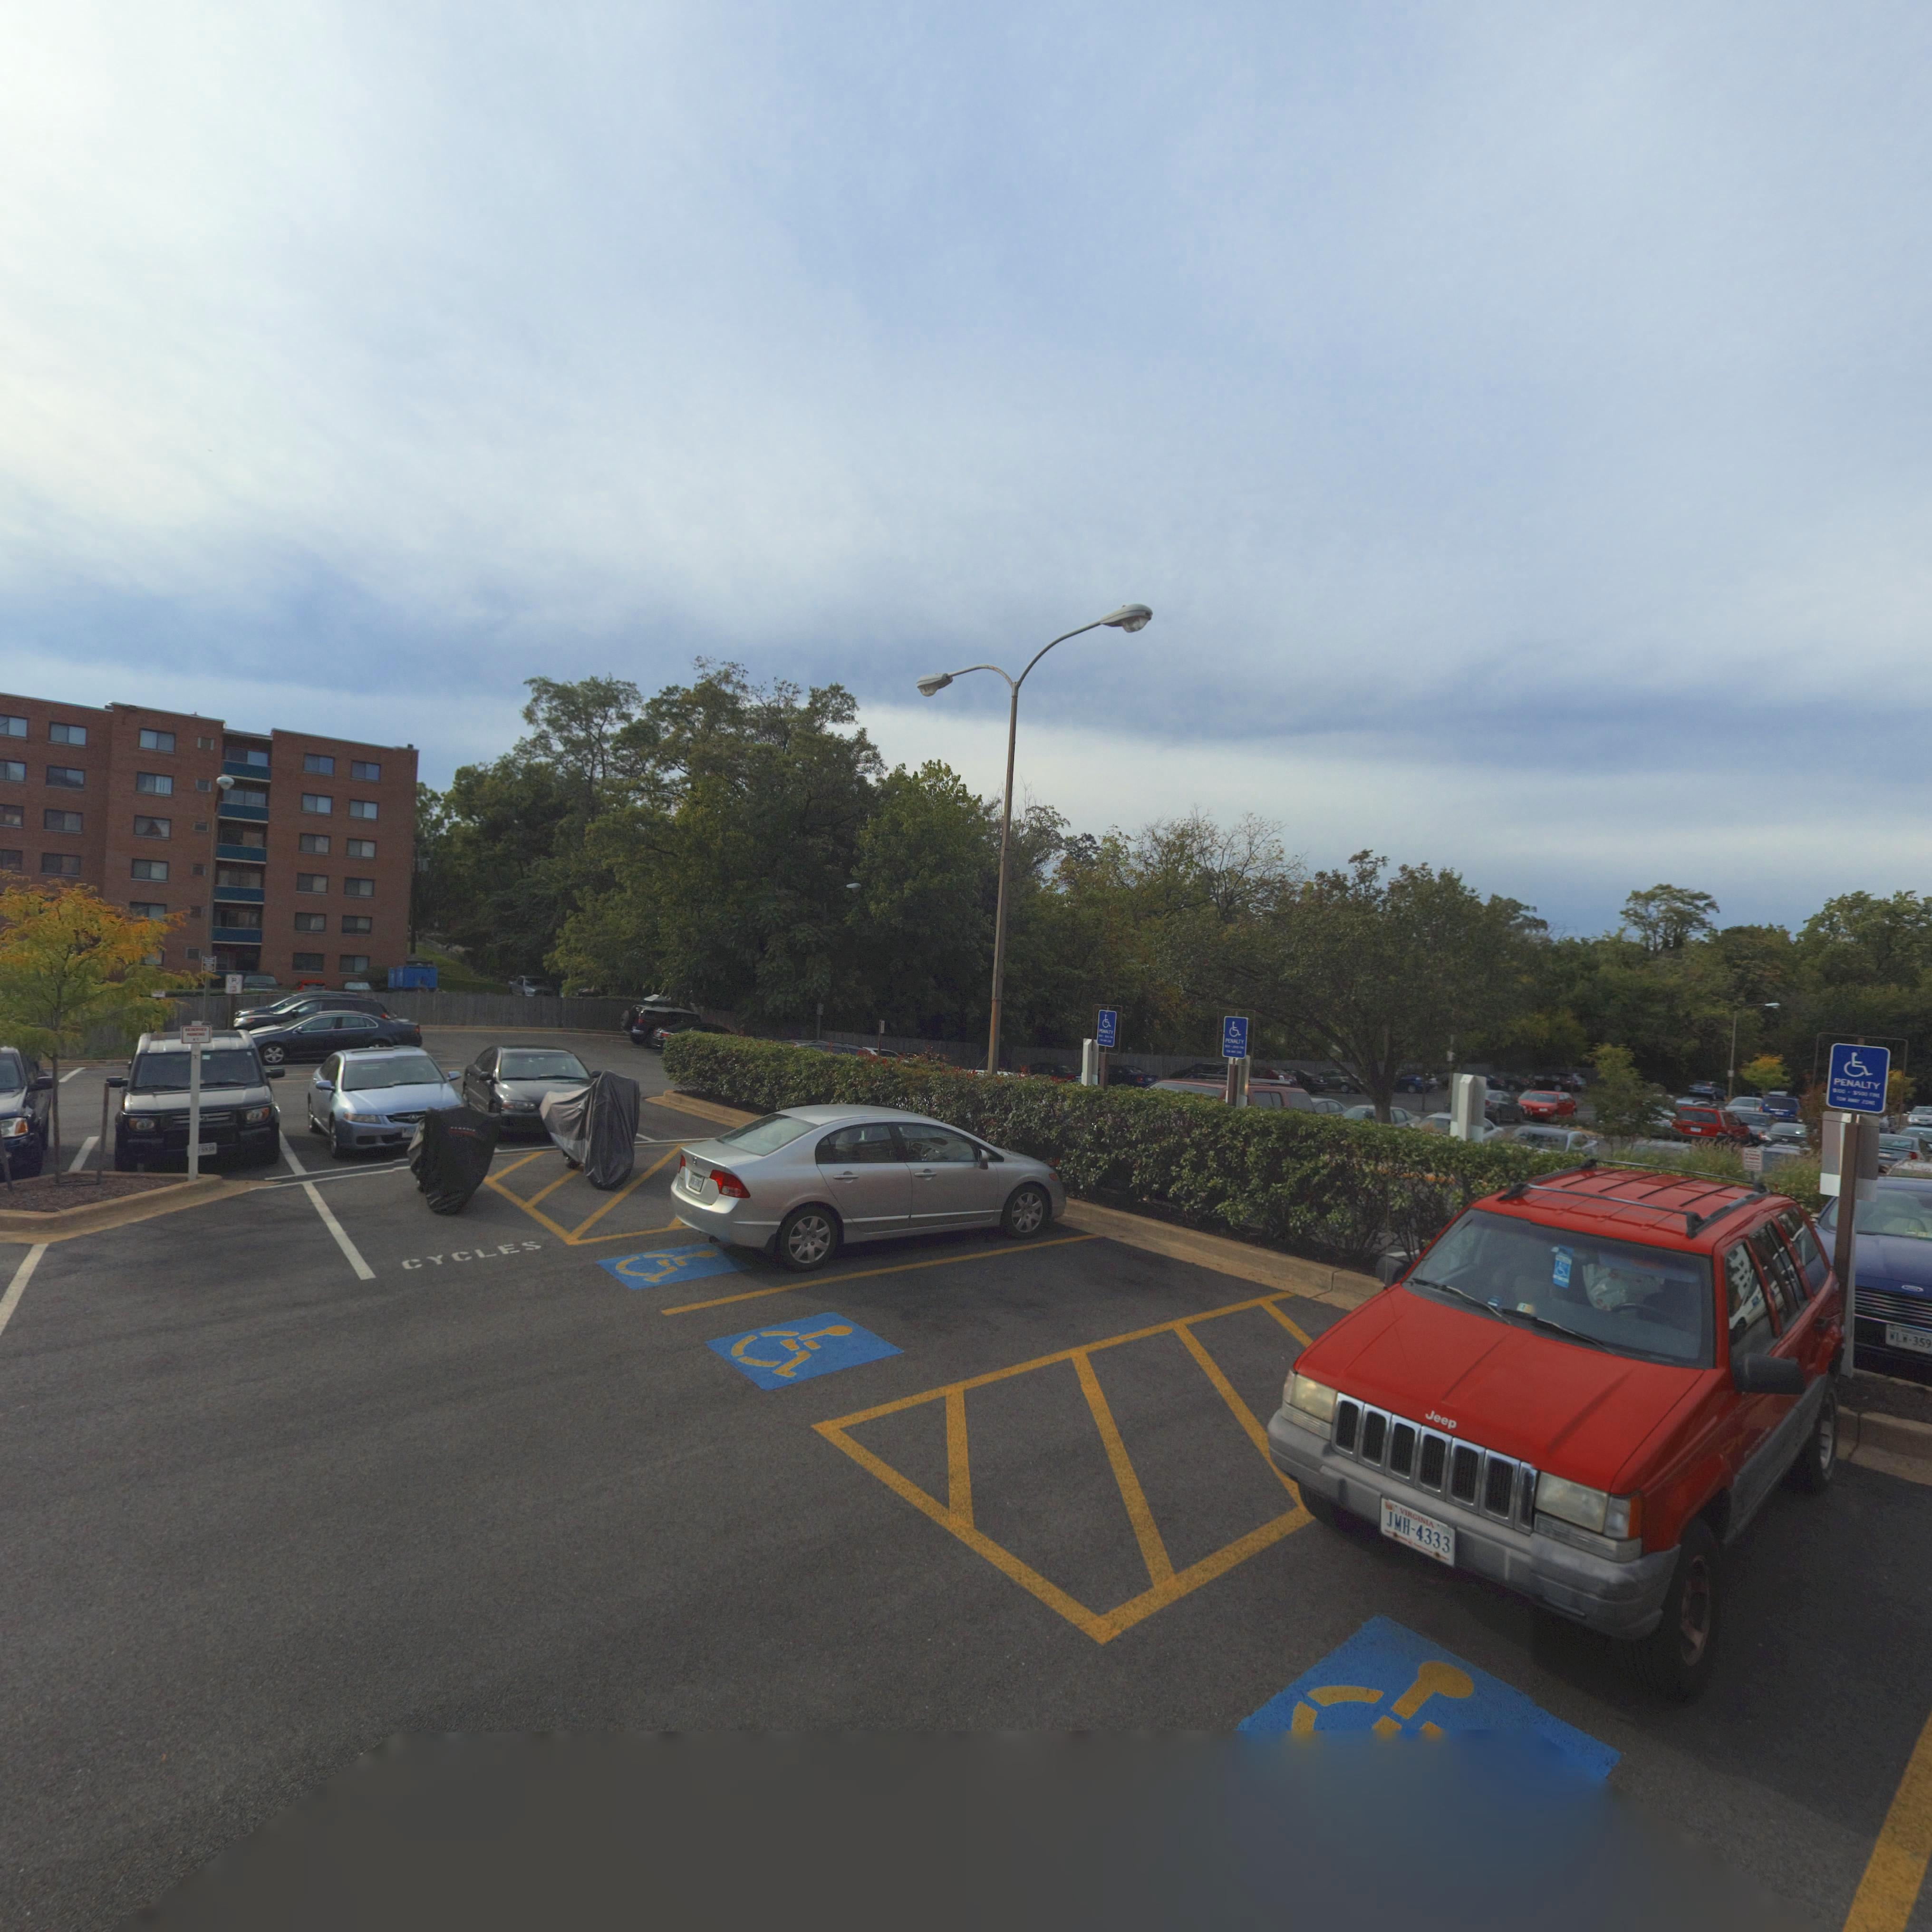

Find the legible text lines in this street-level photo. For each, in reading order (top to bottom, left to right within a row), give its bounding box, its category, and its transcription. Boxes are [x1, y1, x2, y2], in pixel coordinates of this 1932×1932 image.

[1224, 1037, 1246, 1045] None: PENALTY
[1832, 1075, 1884, 1092] None: PENALTY
[399, 1237, 545, 1273] None: CYCLES
[1421, 1407, 1459, 1433] None: Jeep
[1398, 1505, 1436, 1530] None: VIRGINIA
[1384, 1508, 1451, 1557] None: JMH-4333